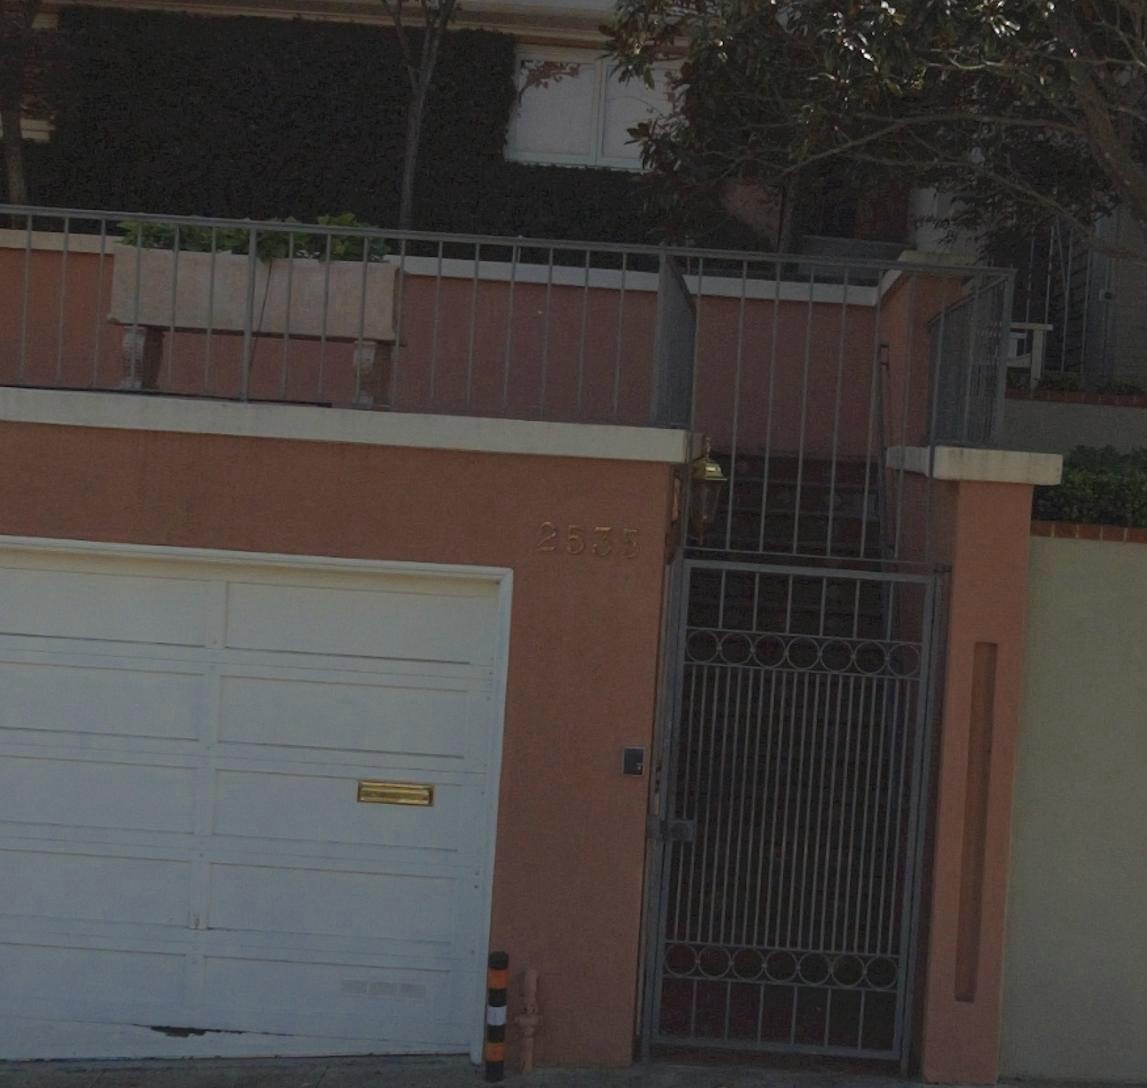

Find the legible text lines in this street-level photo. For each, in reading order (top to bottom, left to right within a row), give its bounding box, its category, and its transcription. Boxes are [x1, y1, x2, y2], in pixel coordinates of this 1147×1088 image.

[534, 521, 641, 561] StreetNumber: 2535